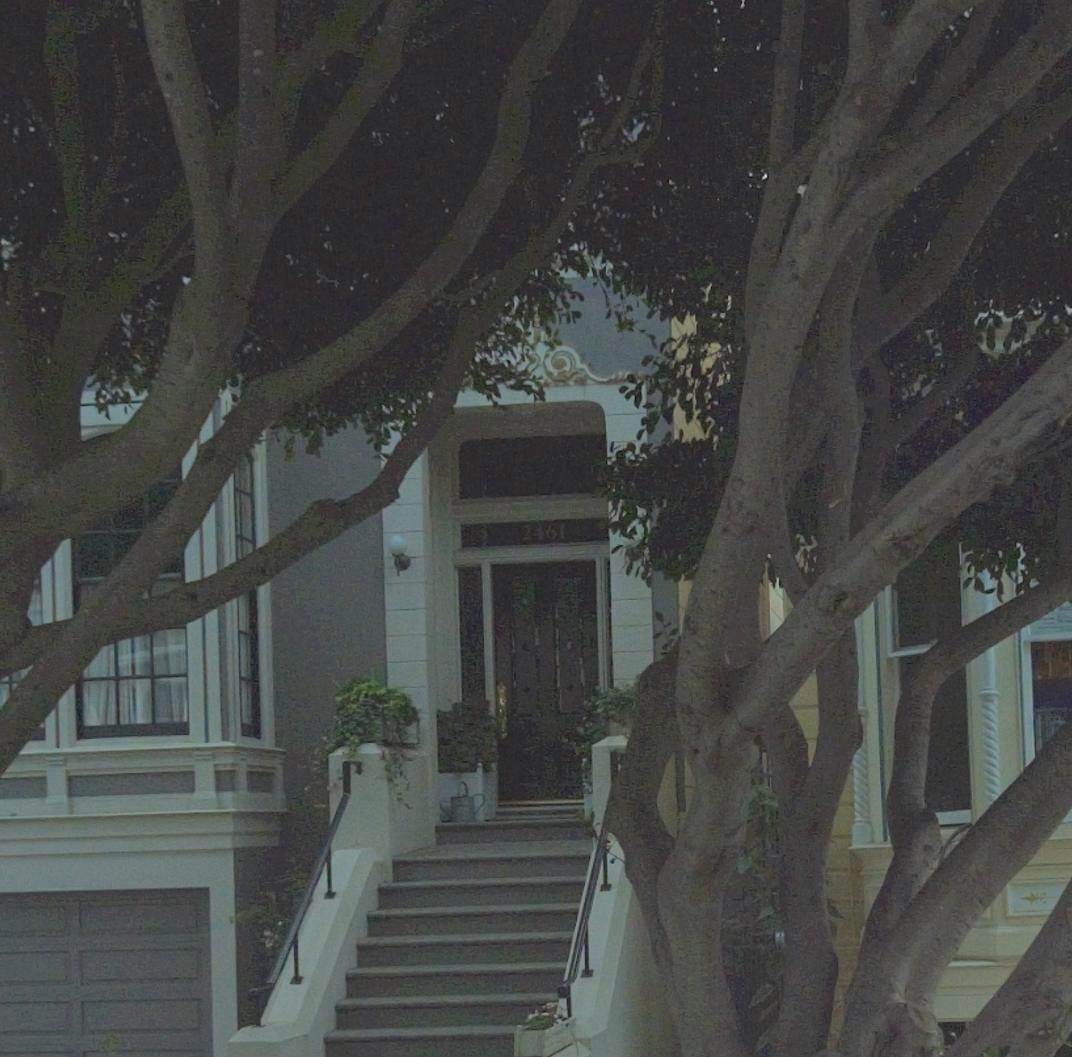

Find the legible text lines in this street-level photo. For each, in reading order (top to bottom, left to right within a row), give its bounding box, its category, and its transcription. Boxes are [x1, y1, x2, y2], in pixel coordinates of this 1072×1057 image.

[519, 520, 568, 545] StreetNumber: 2461